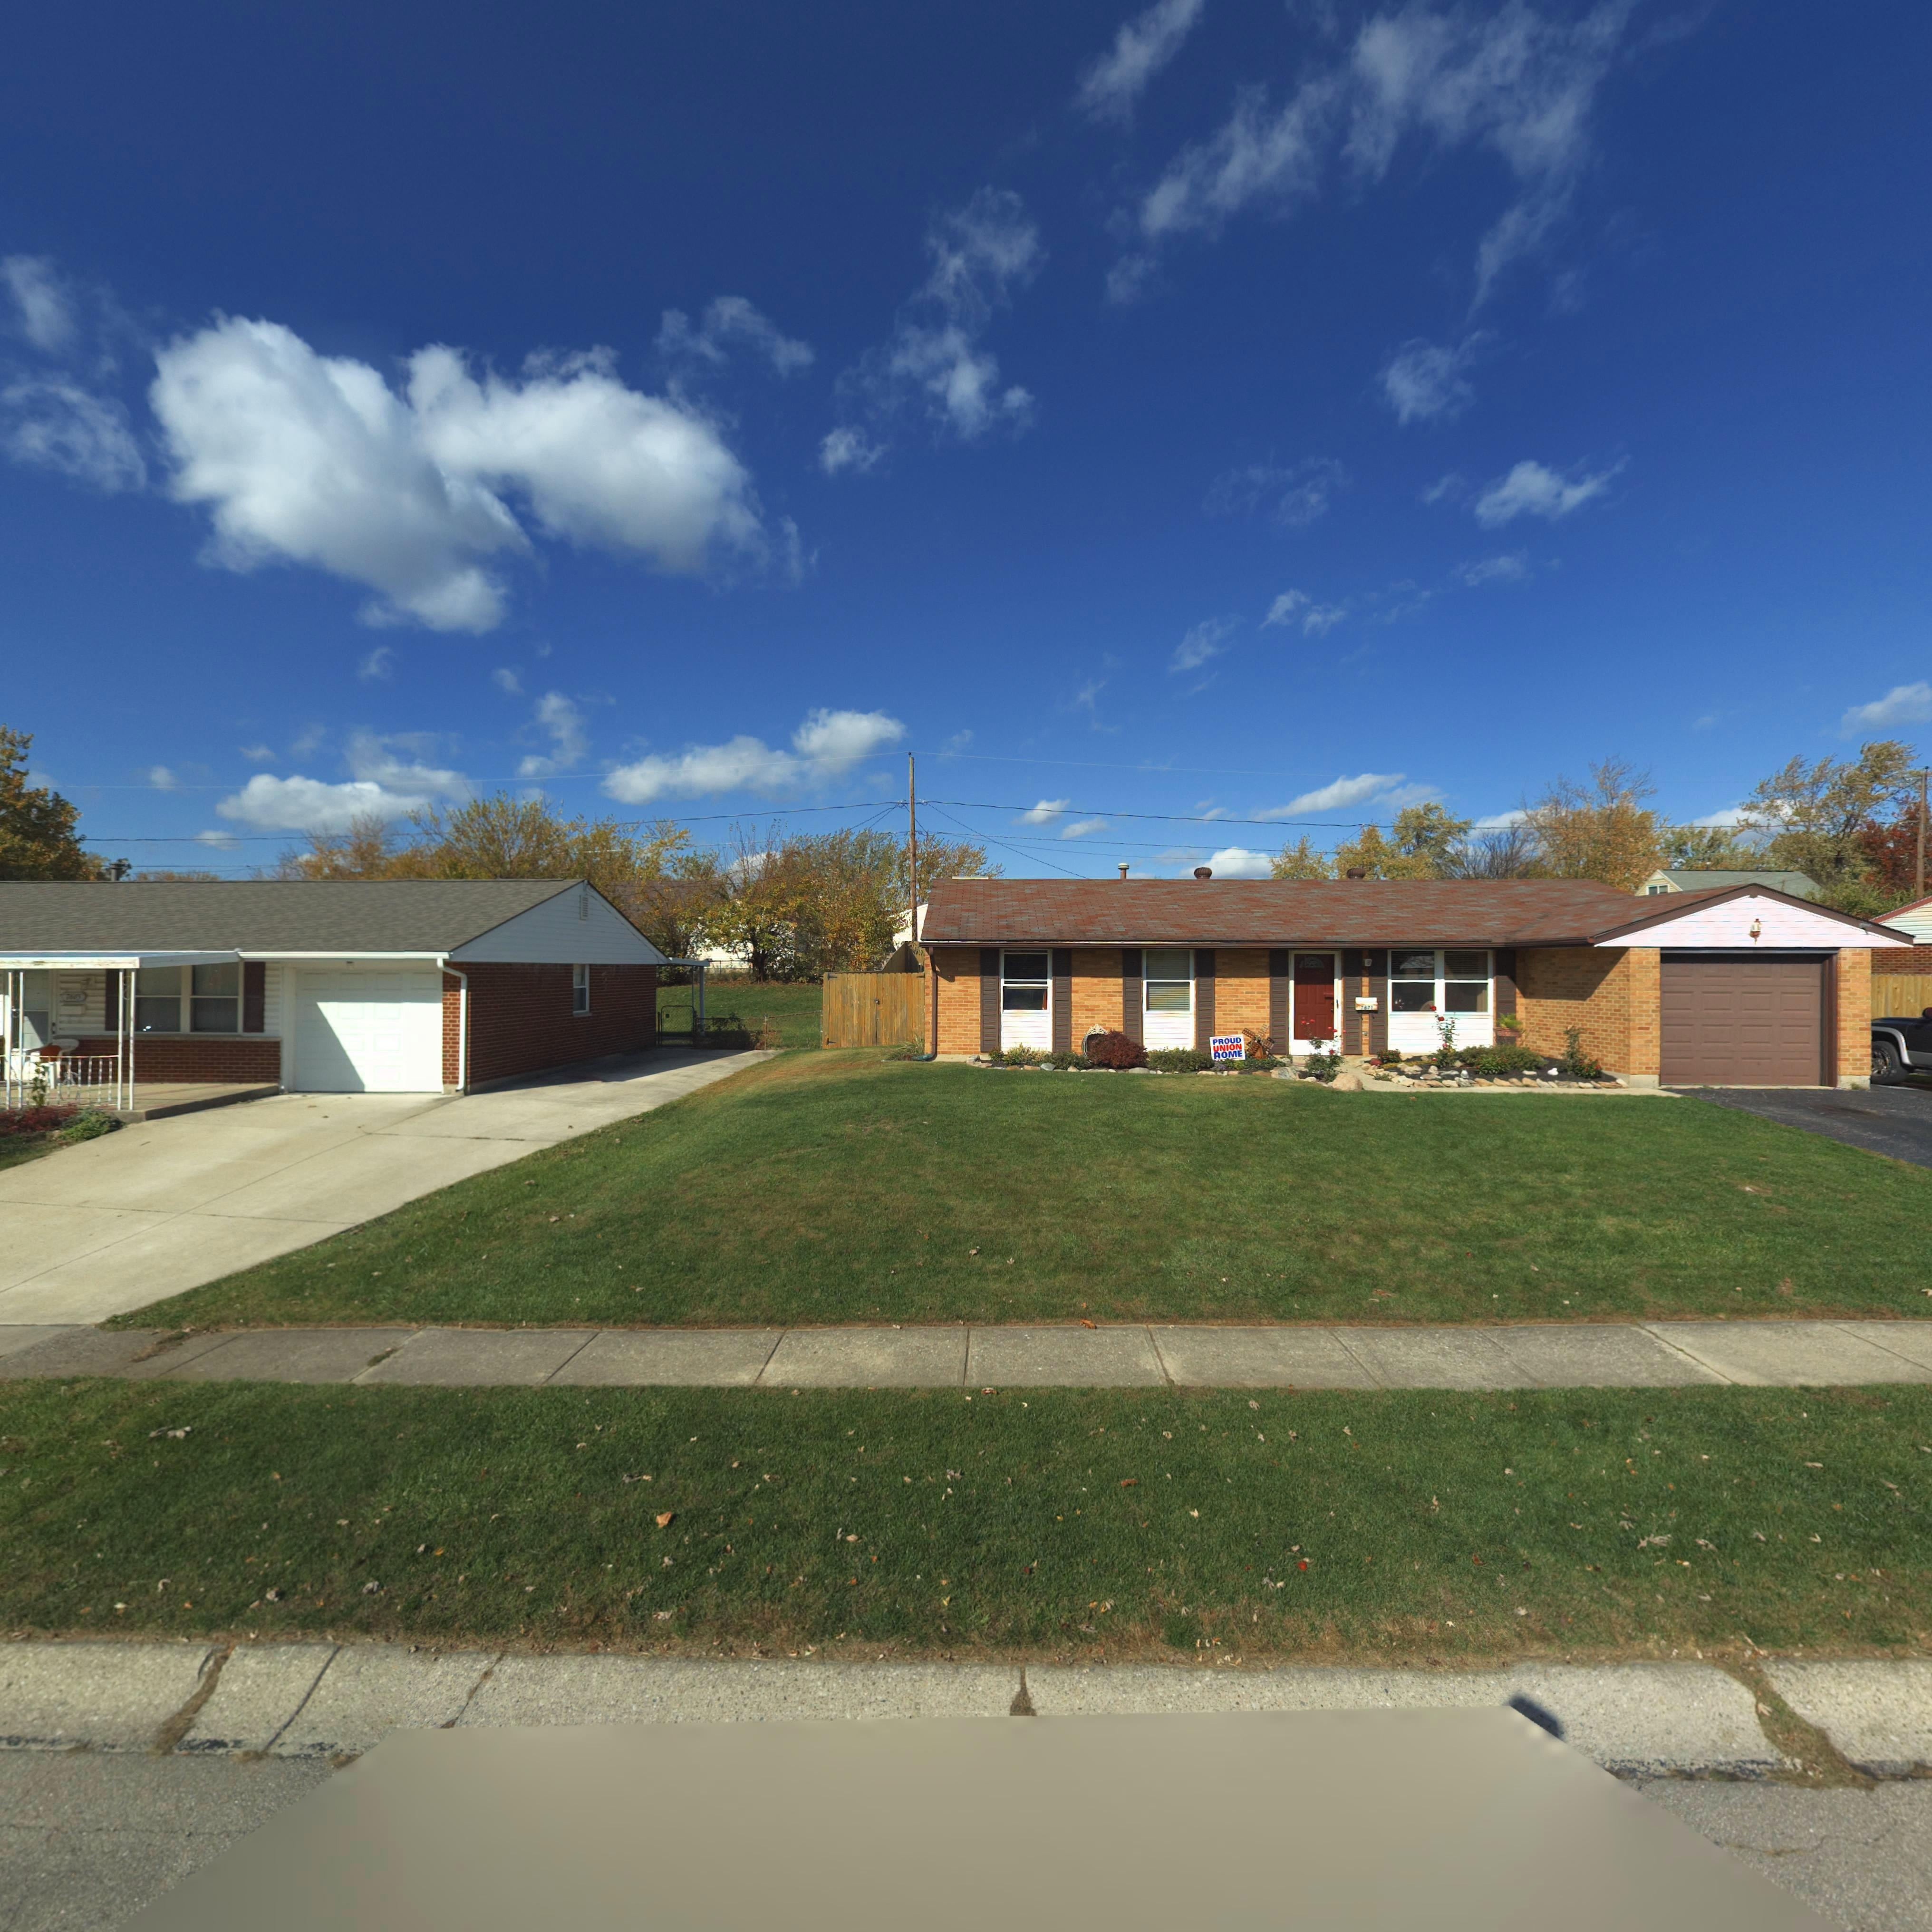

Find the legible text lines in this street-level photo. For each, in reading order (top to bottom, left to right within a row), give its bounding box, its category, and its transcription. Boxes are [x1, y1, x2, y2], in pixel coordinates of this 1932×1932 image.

[65, 993, 82, 1000] StreetNumber: 7665
[1360, 1005, 1373, 1011] StreetNumber: 7671